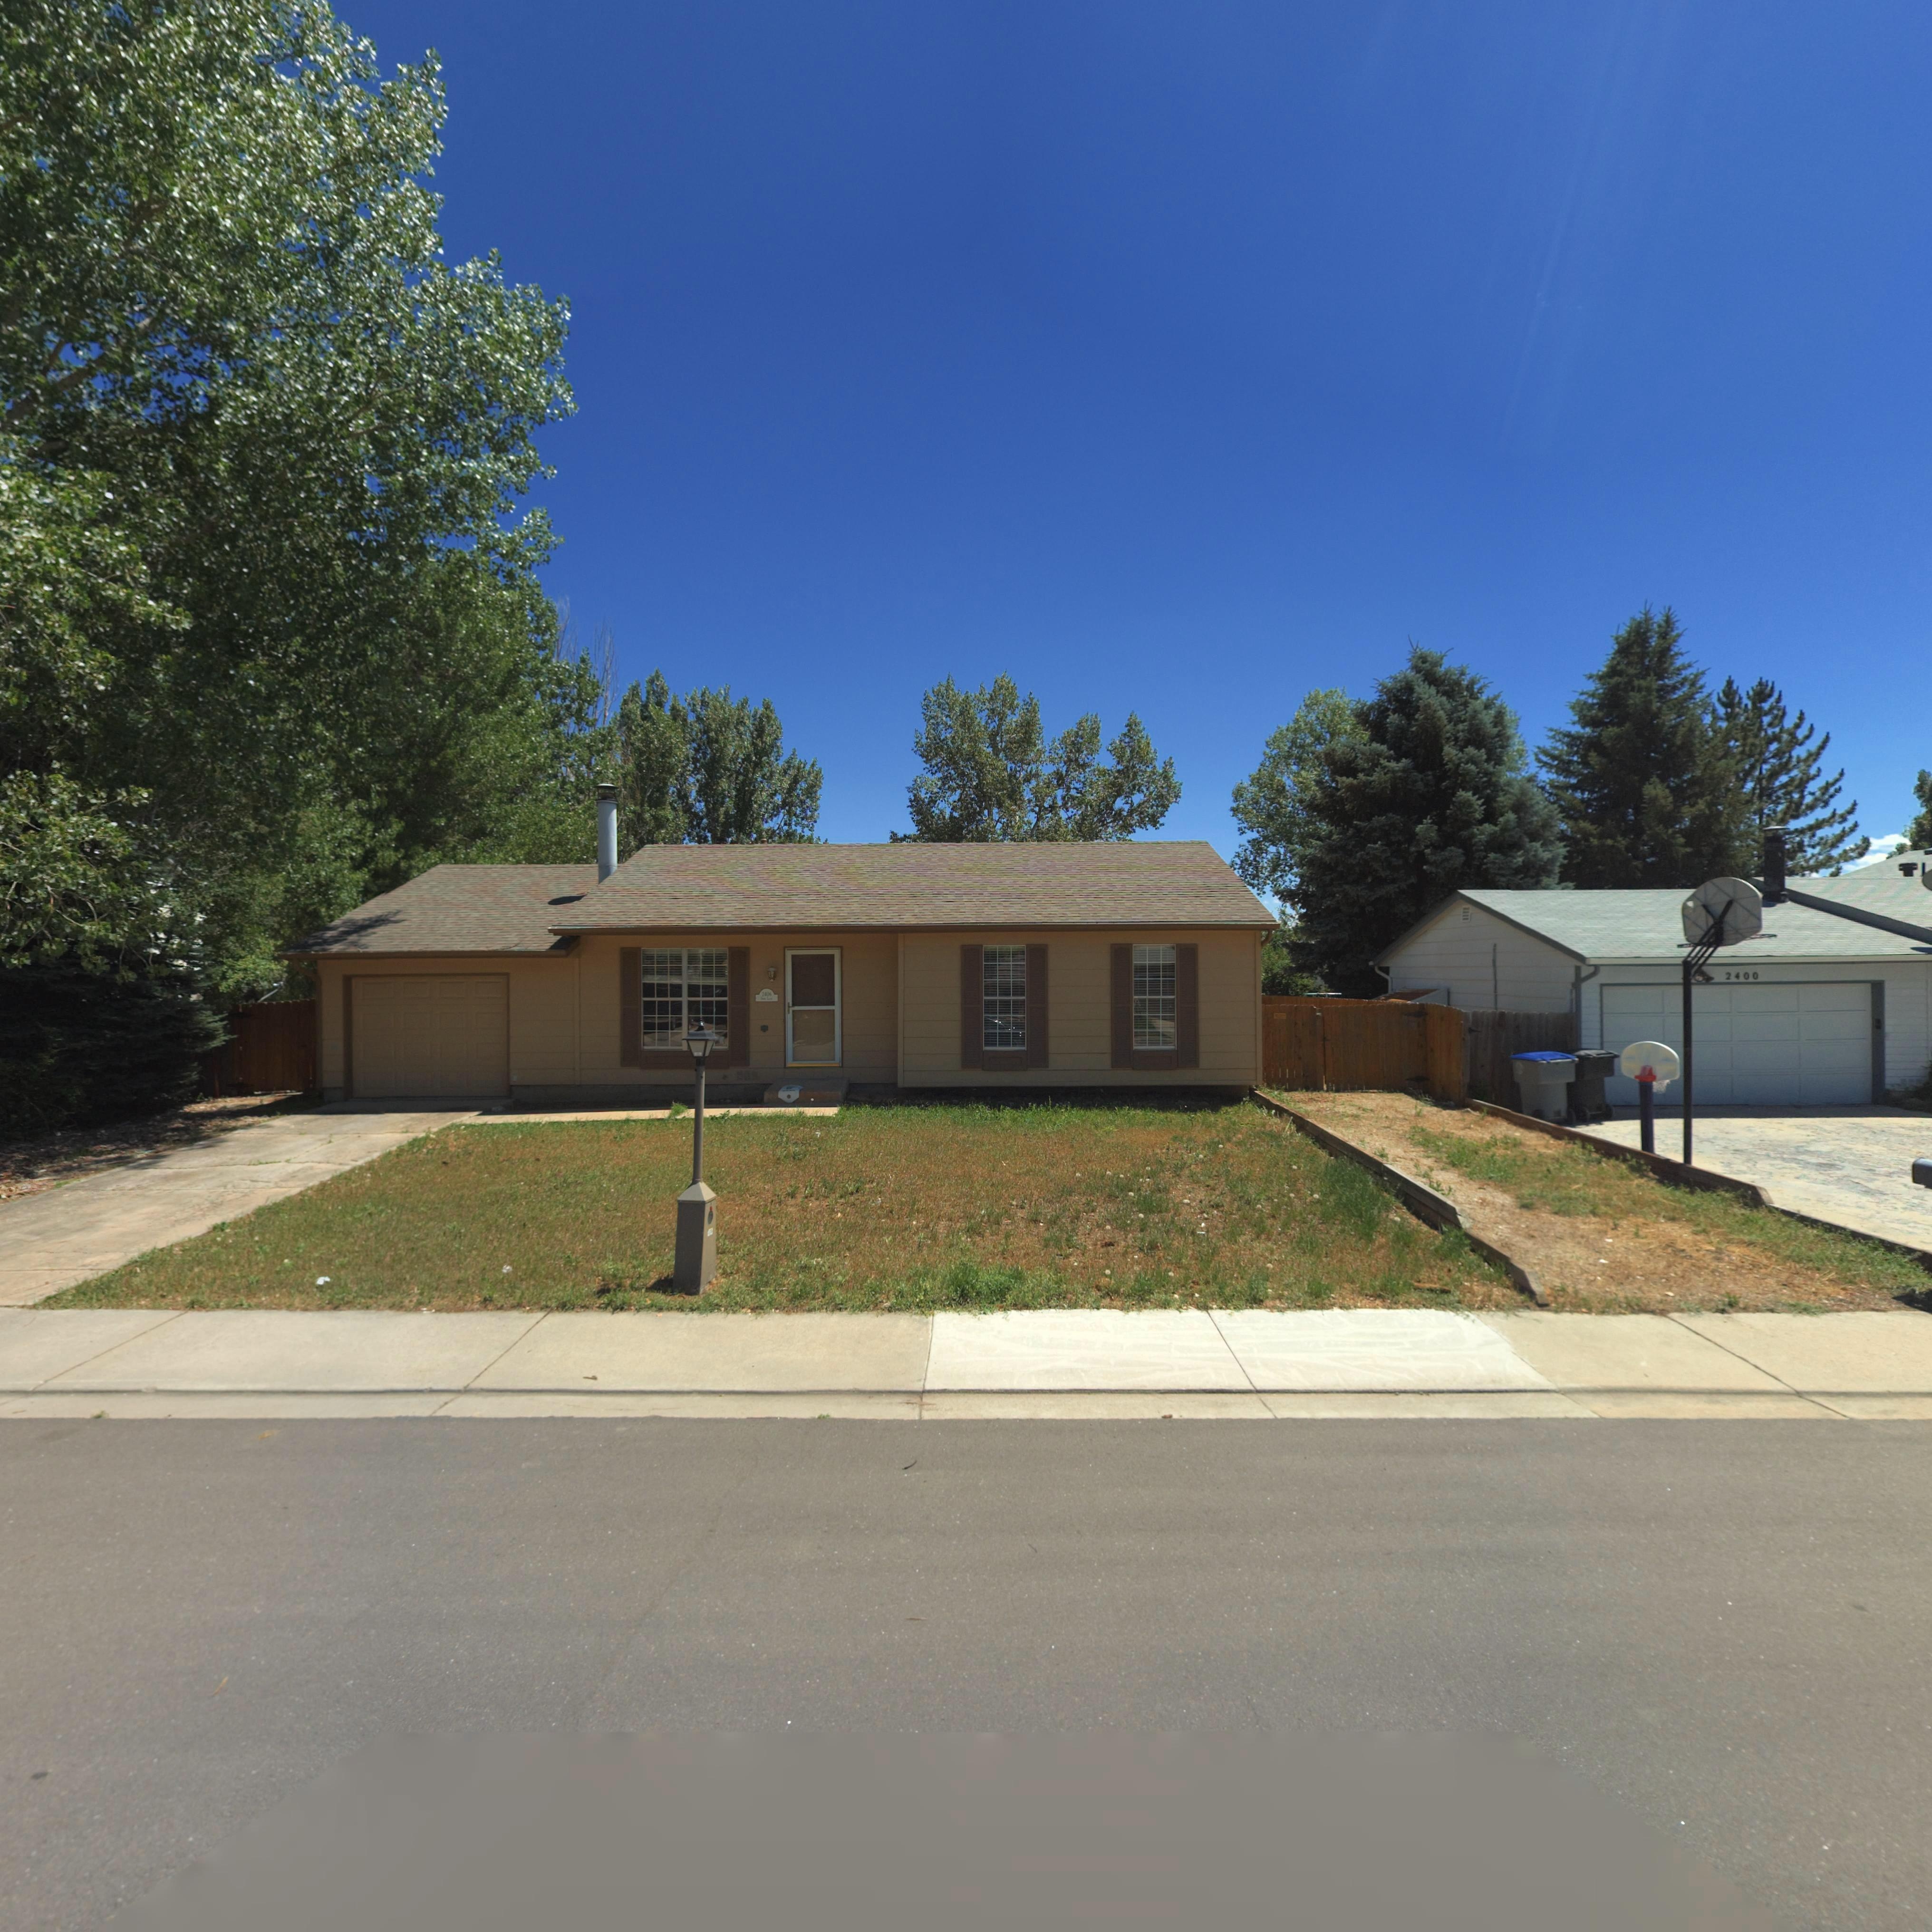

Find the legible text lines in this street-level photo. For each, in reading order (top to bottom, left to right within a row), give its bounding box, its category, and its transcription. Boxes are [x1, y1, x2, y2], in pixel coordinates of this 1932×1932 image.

[1725, 971, 1758, 980] StreetNumber: 2400
[762, 991, 772, 996] StreetNumber: 240*
[760, 996, 773, 1000] StreetName: **** L***